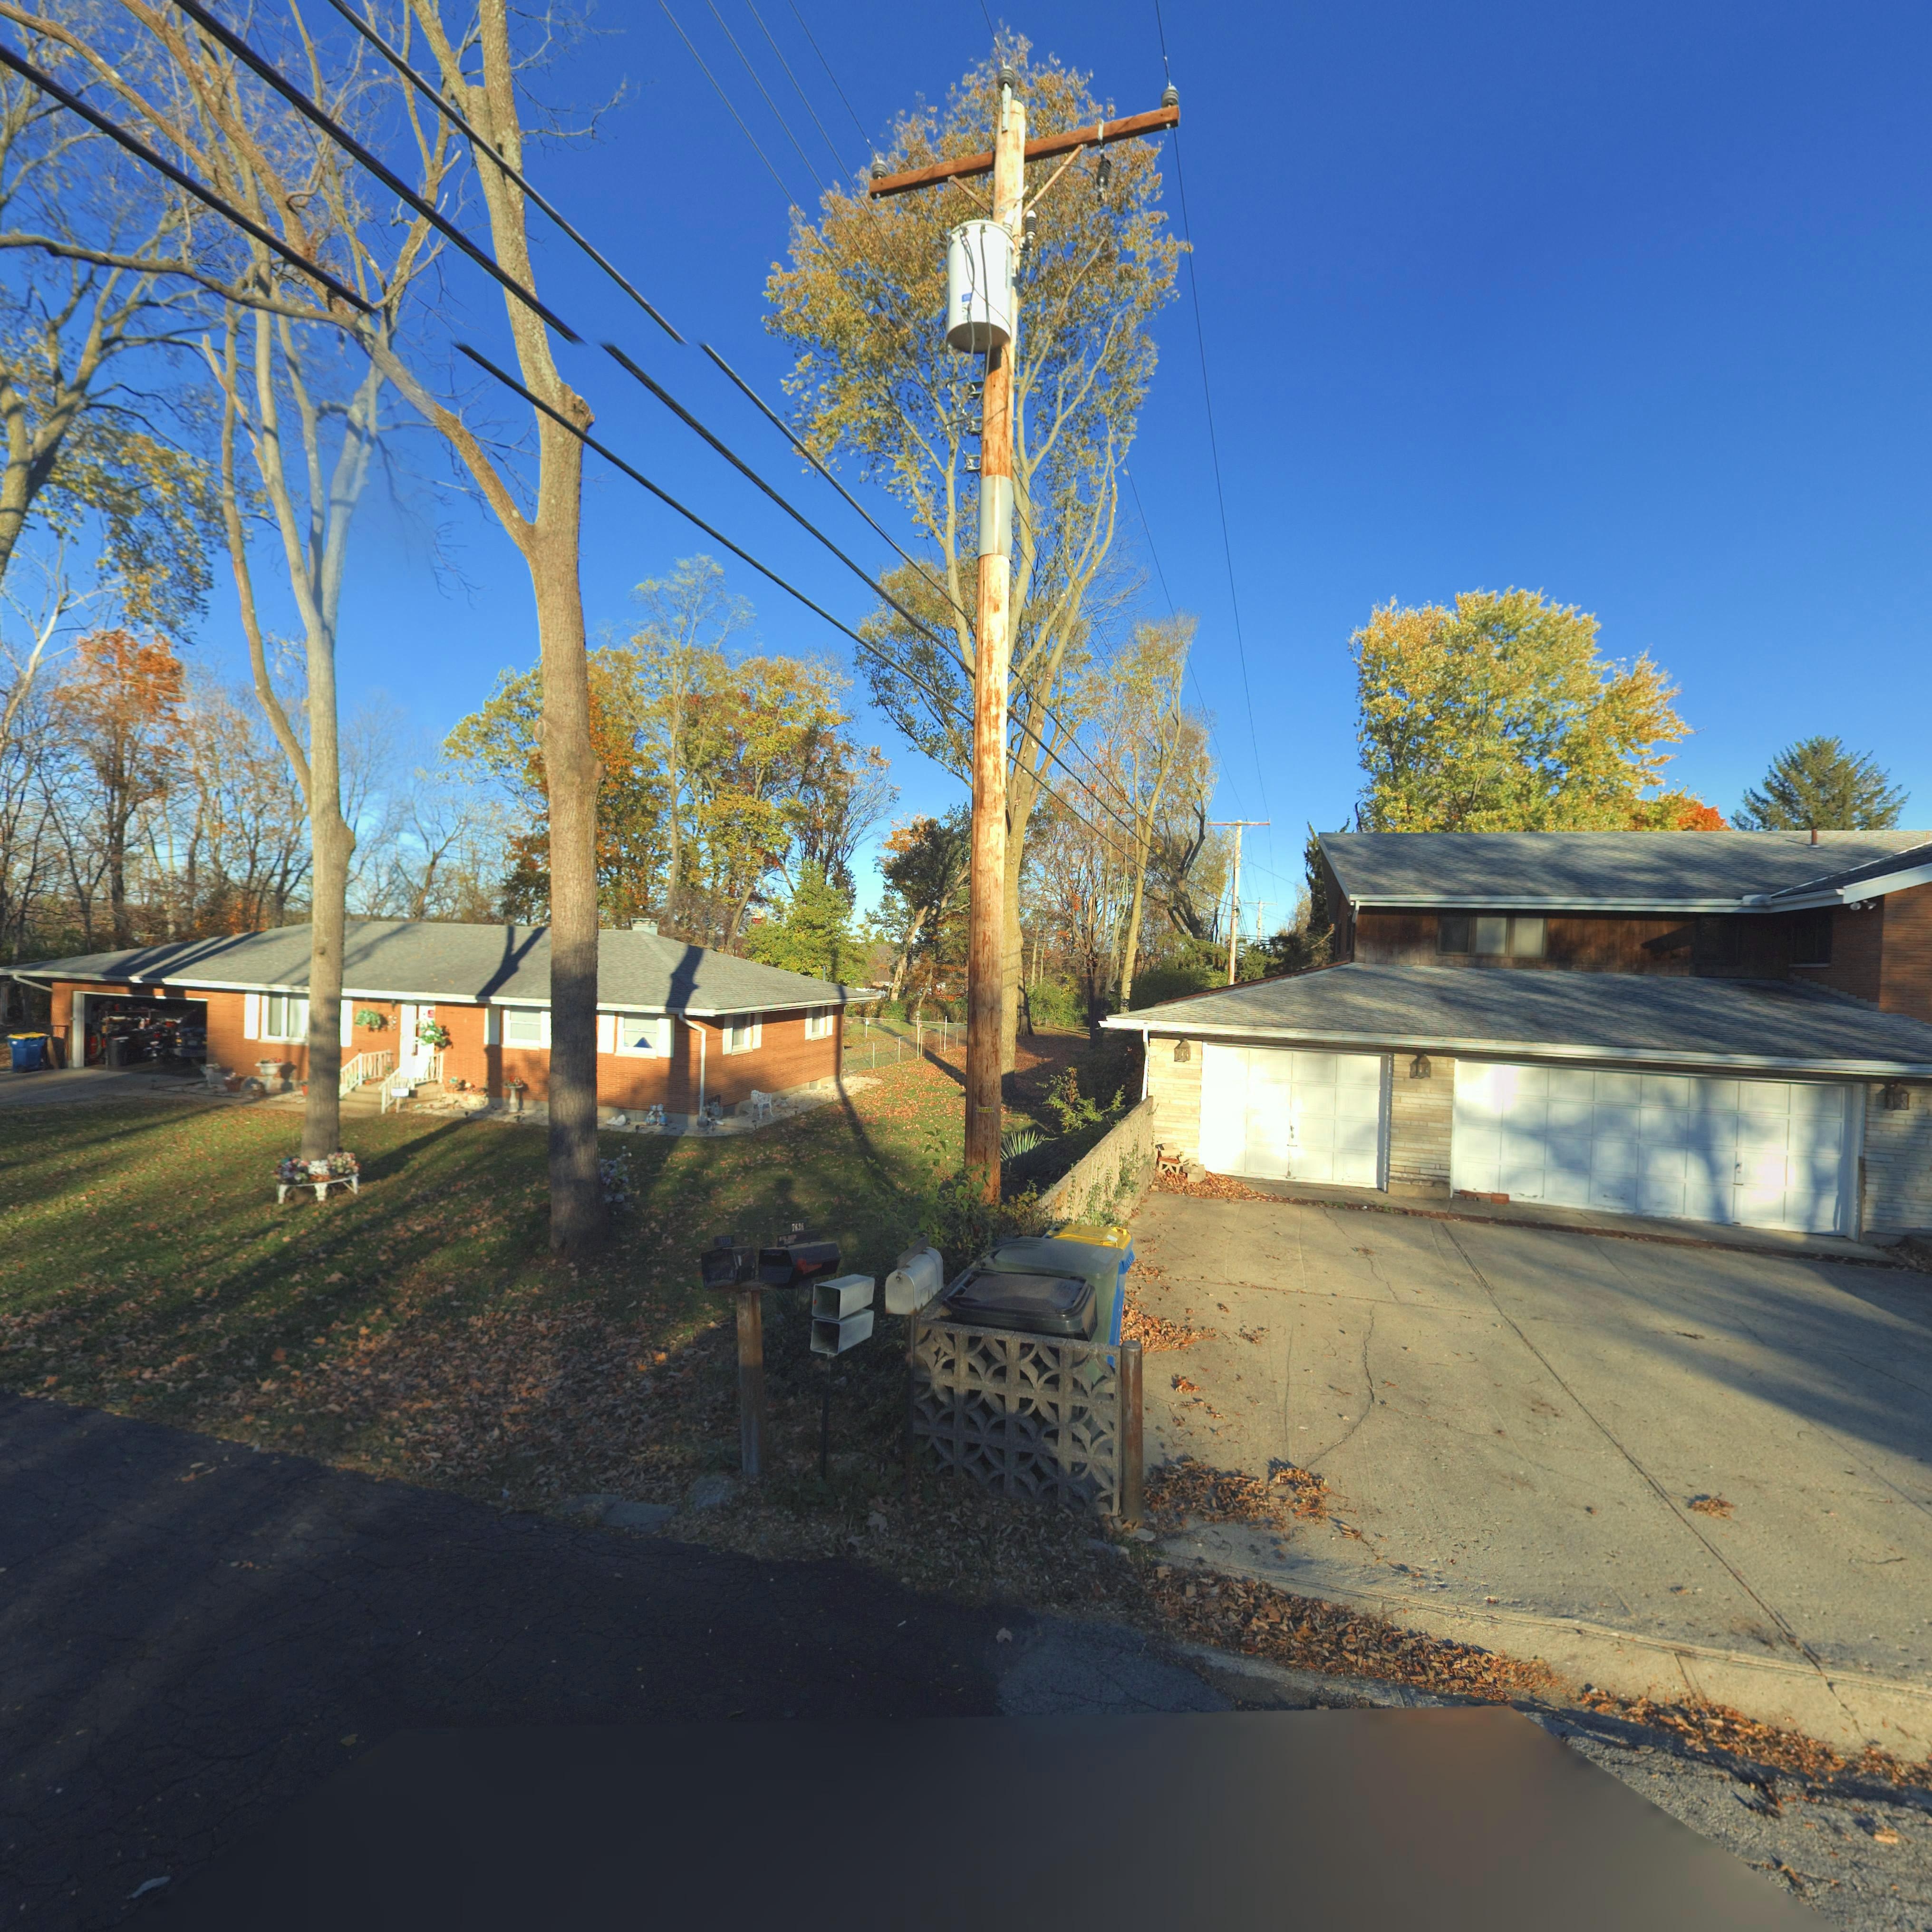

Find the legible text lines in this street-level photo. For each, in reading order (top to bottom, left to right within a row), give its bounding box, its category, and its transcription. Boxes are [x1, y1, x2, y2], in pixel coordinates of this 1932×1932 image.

[792, 1222, 804, 1232] StreetNumber: 7636
[918, 1281, 933, 1300] StreetNumber: 7***